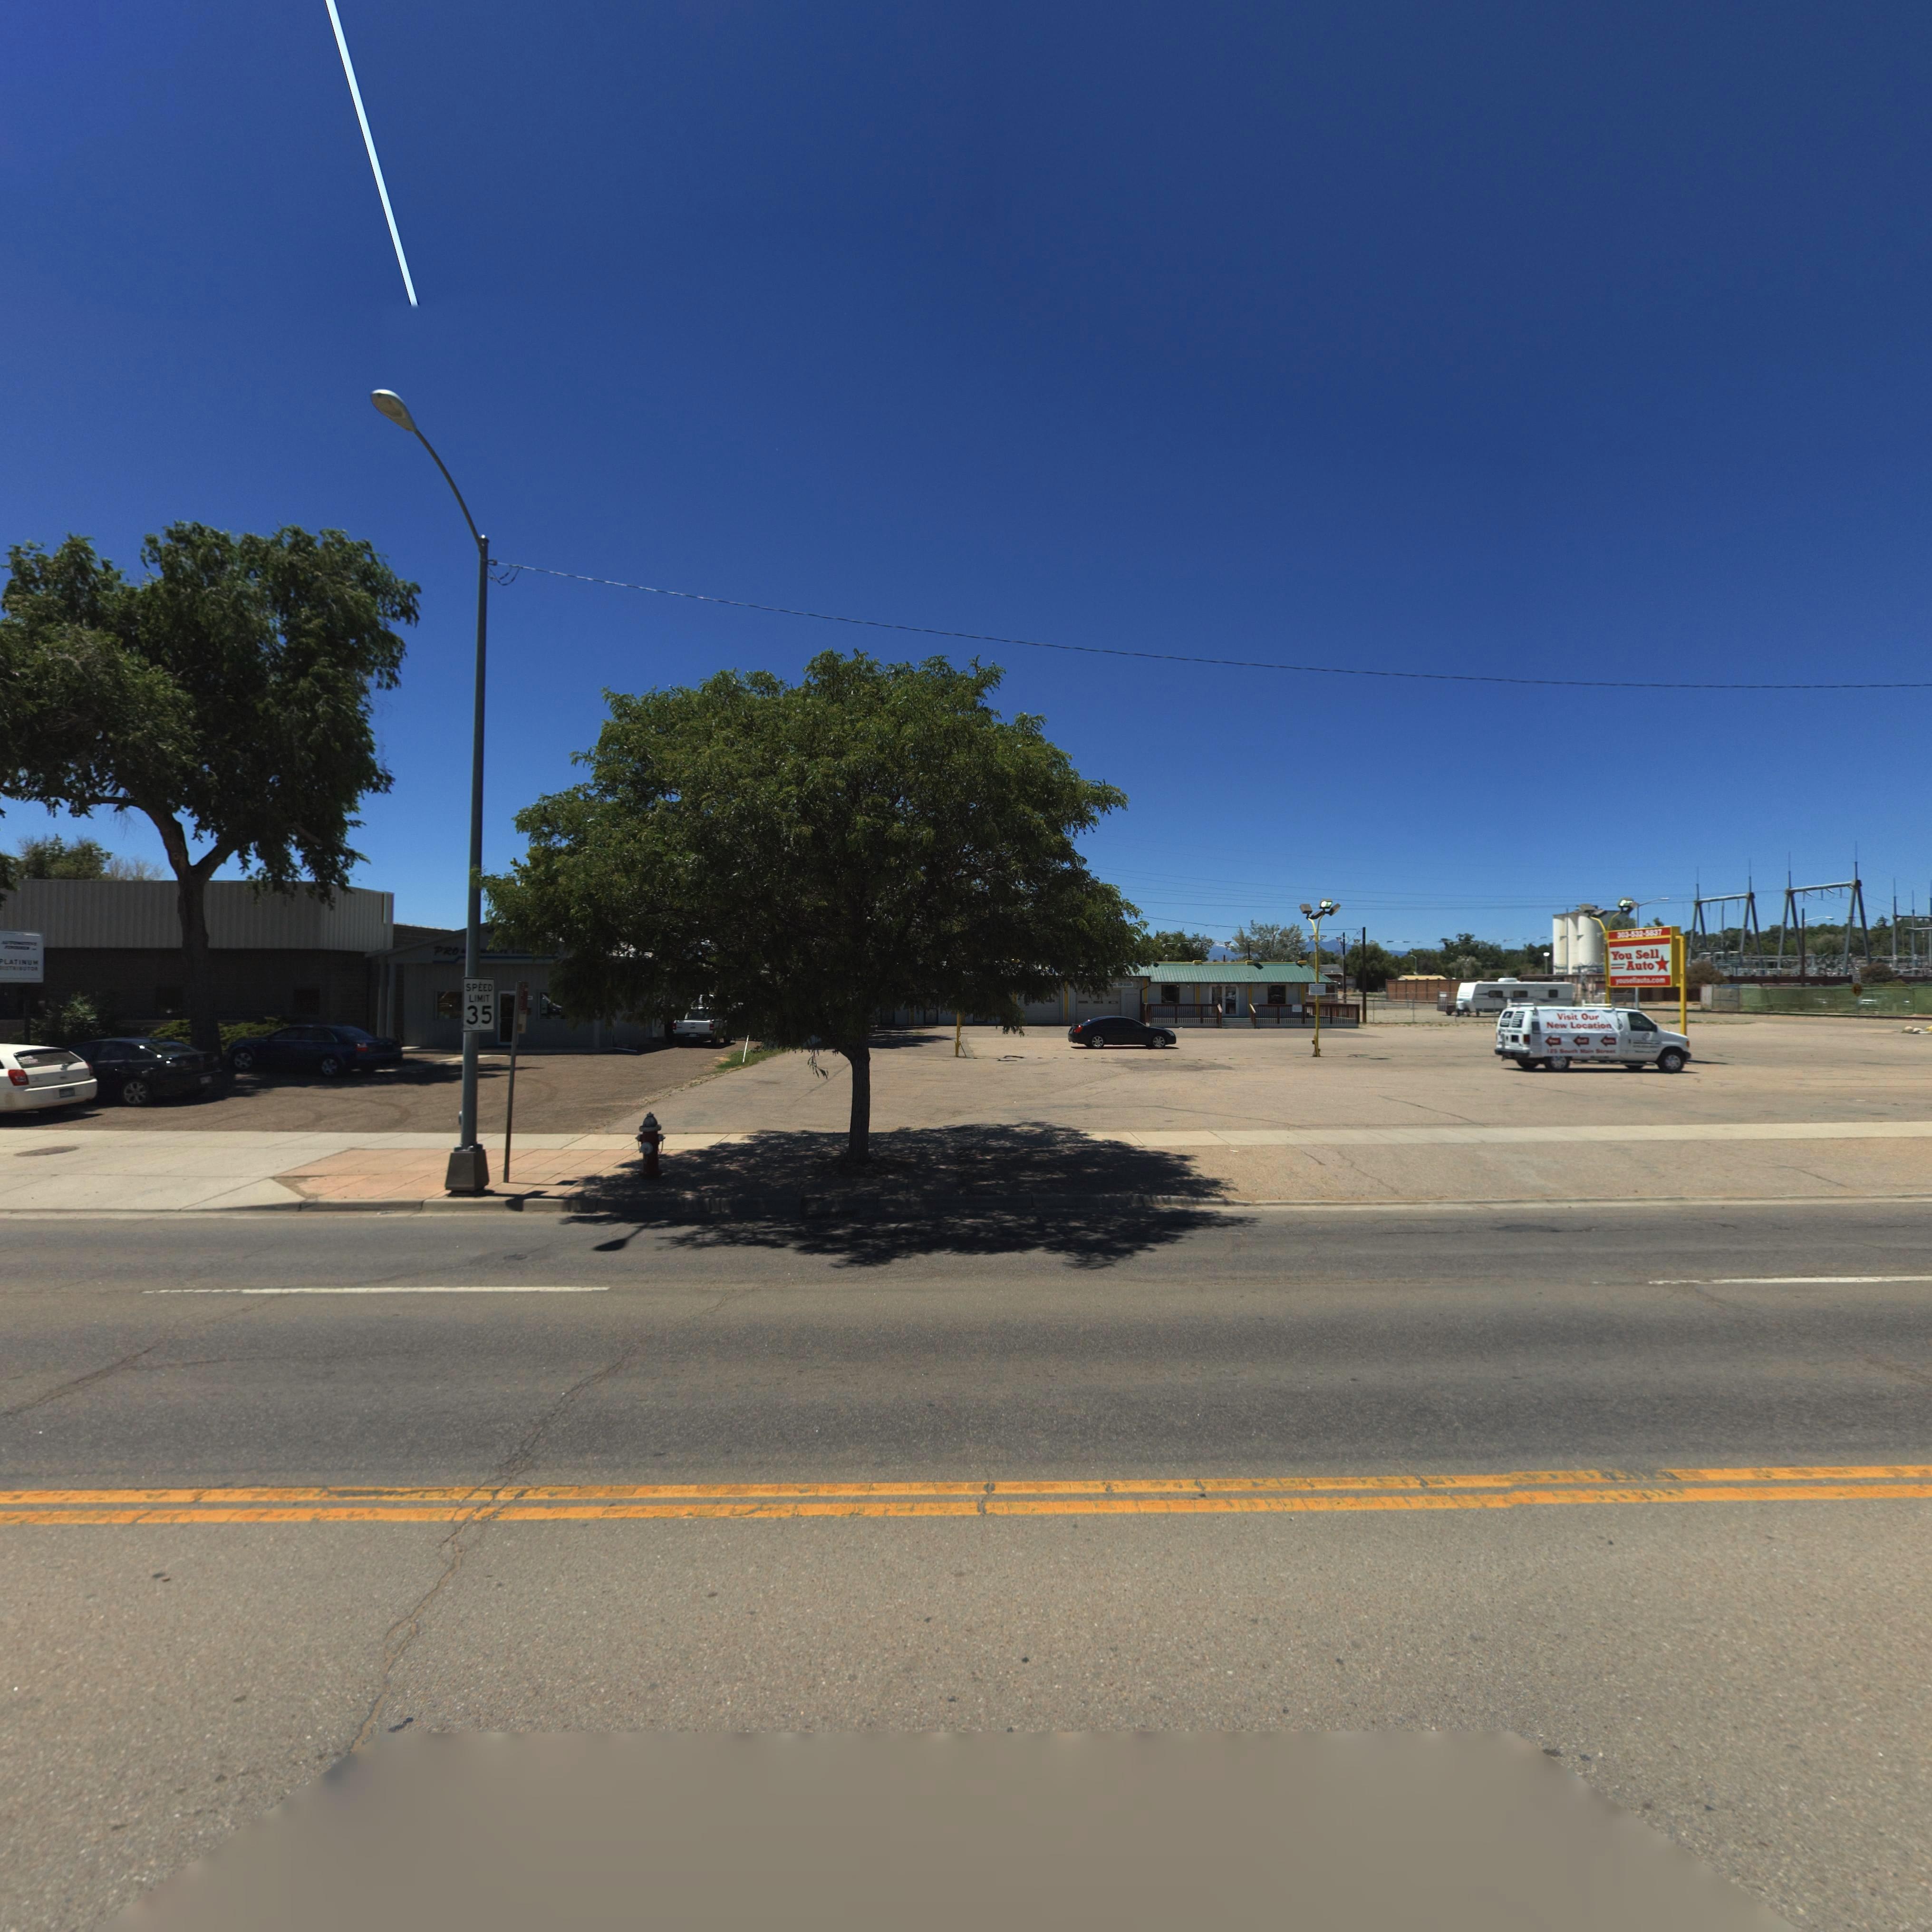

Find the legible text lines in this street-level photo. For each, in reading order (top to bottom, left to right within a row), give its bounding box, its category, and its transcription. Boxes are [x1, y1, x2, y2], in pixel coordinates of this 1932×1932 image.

[433, 945, 459, 956] BusinessName: PRO
[459, 948, 524, 954] BusinessName: A********* ***